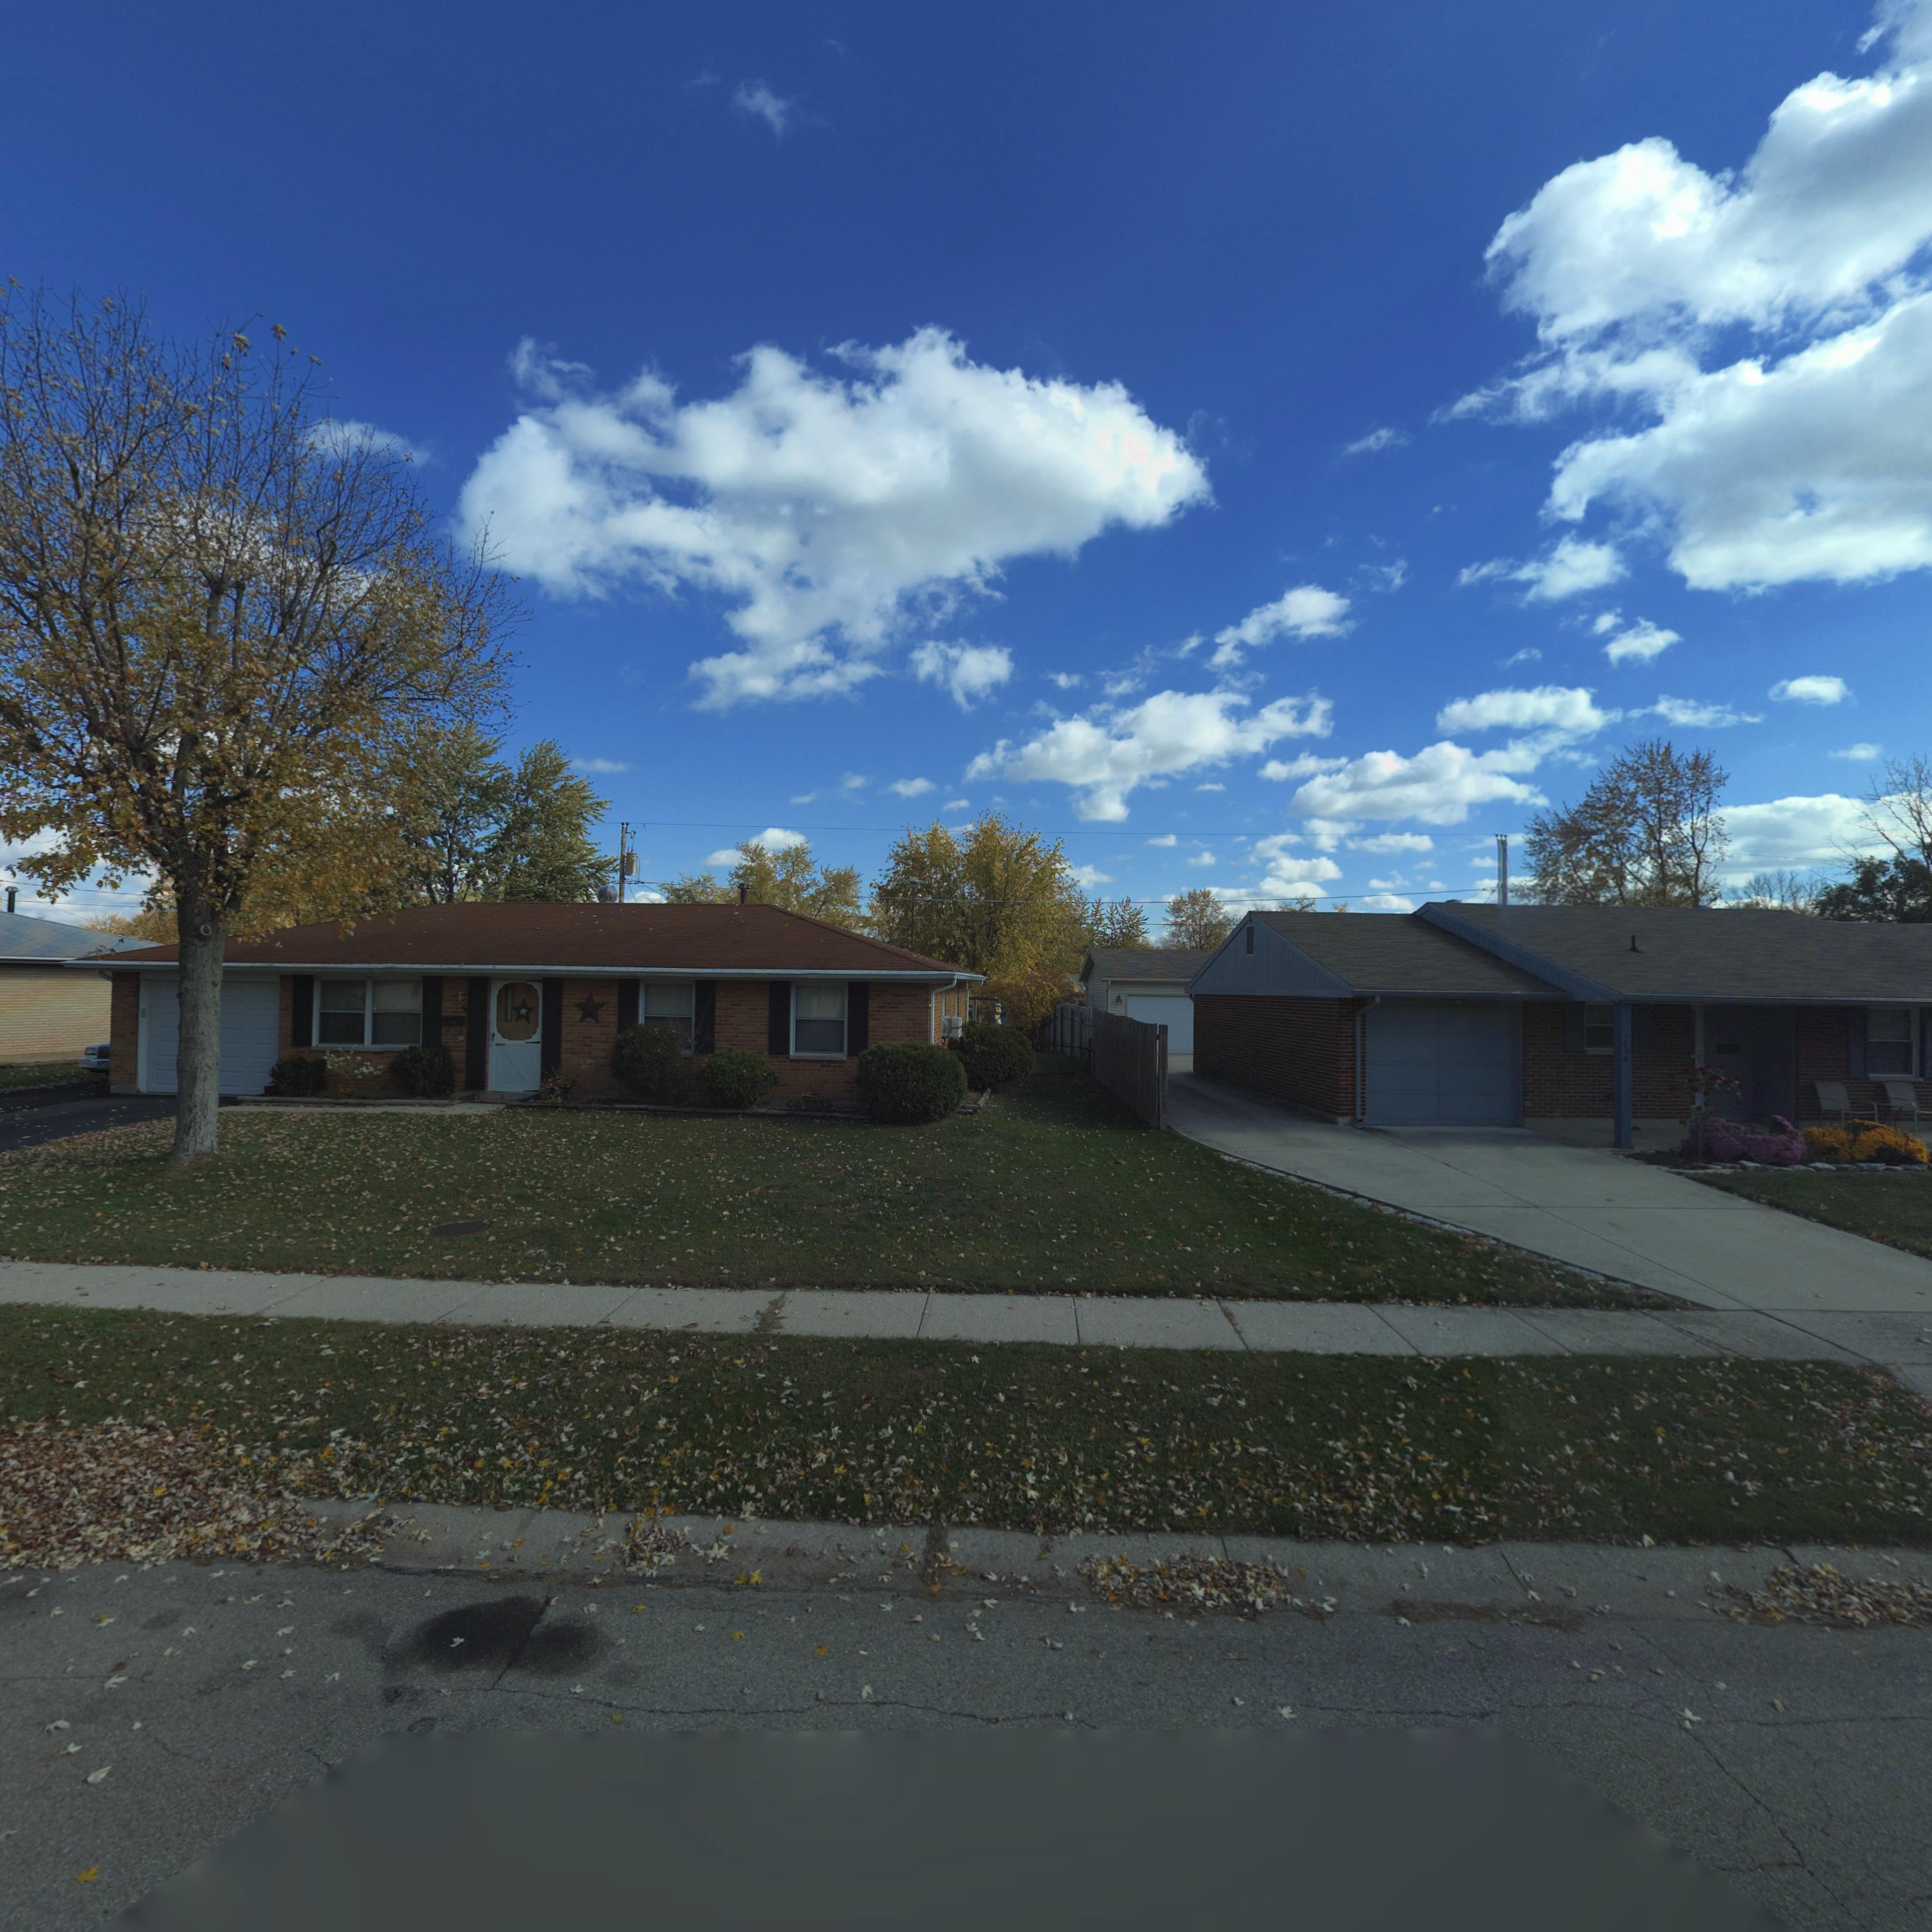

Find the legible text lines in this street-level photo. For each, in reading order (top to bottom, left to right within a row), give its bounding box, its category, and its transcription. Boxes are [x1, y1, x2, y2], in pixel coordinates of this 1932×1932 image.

[1622, 1032, 1629, 1063] StreetNumber: 76*0